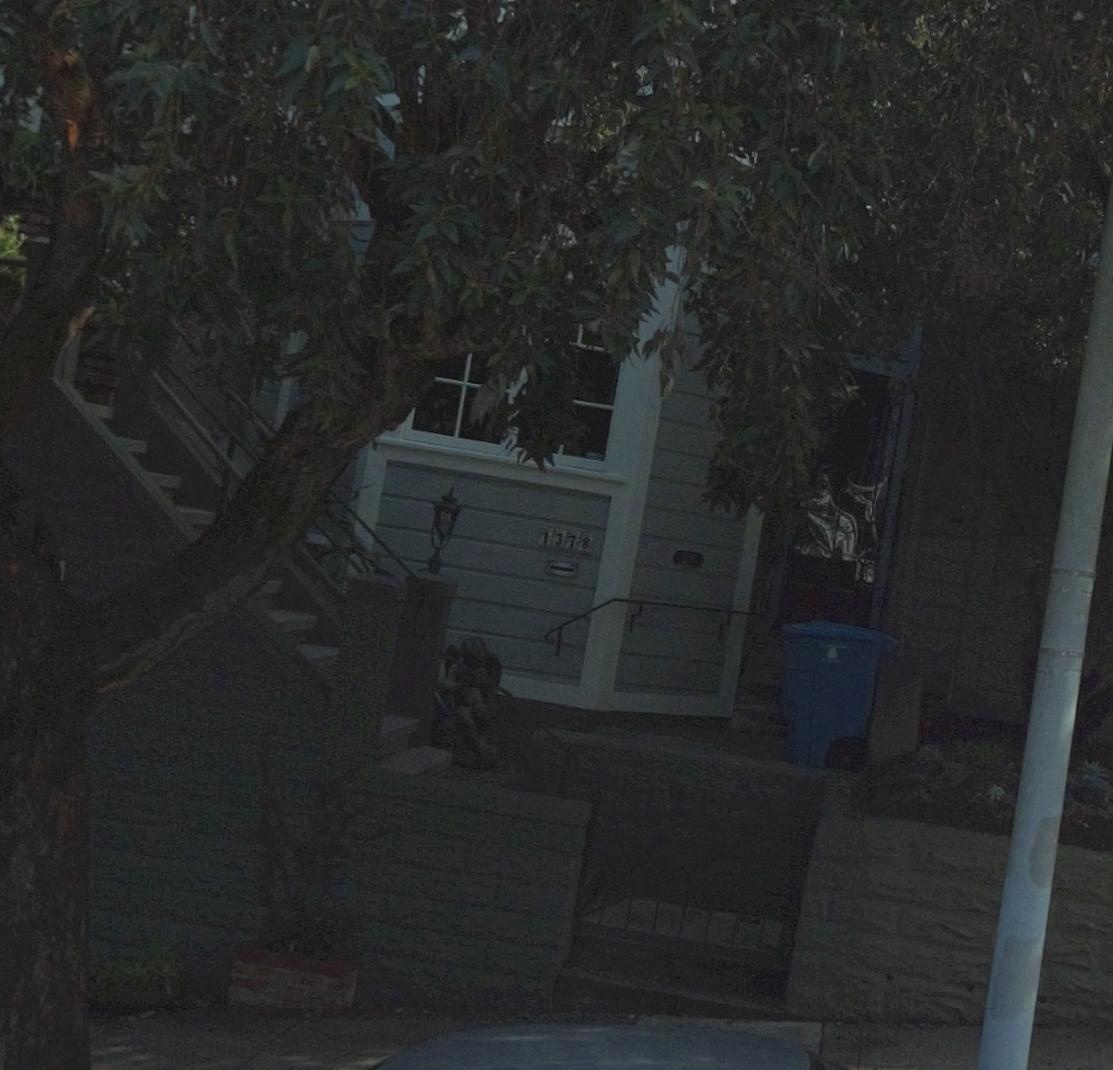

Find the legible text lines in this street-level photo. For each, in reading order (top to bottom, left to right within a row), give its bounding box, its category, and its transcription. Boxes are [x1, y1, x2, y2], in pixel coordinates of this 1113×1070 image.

[539, 527, 594, 553] StreetNumber: 1378